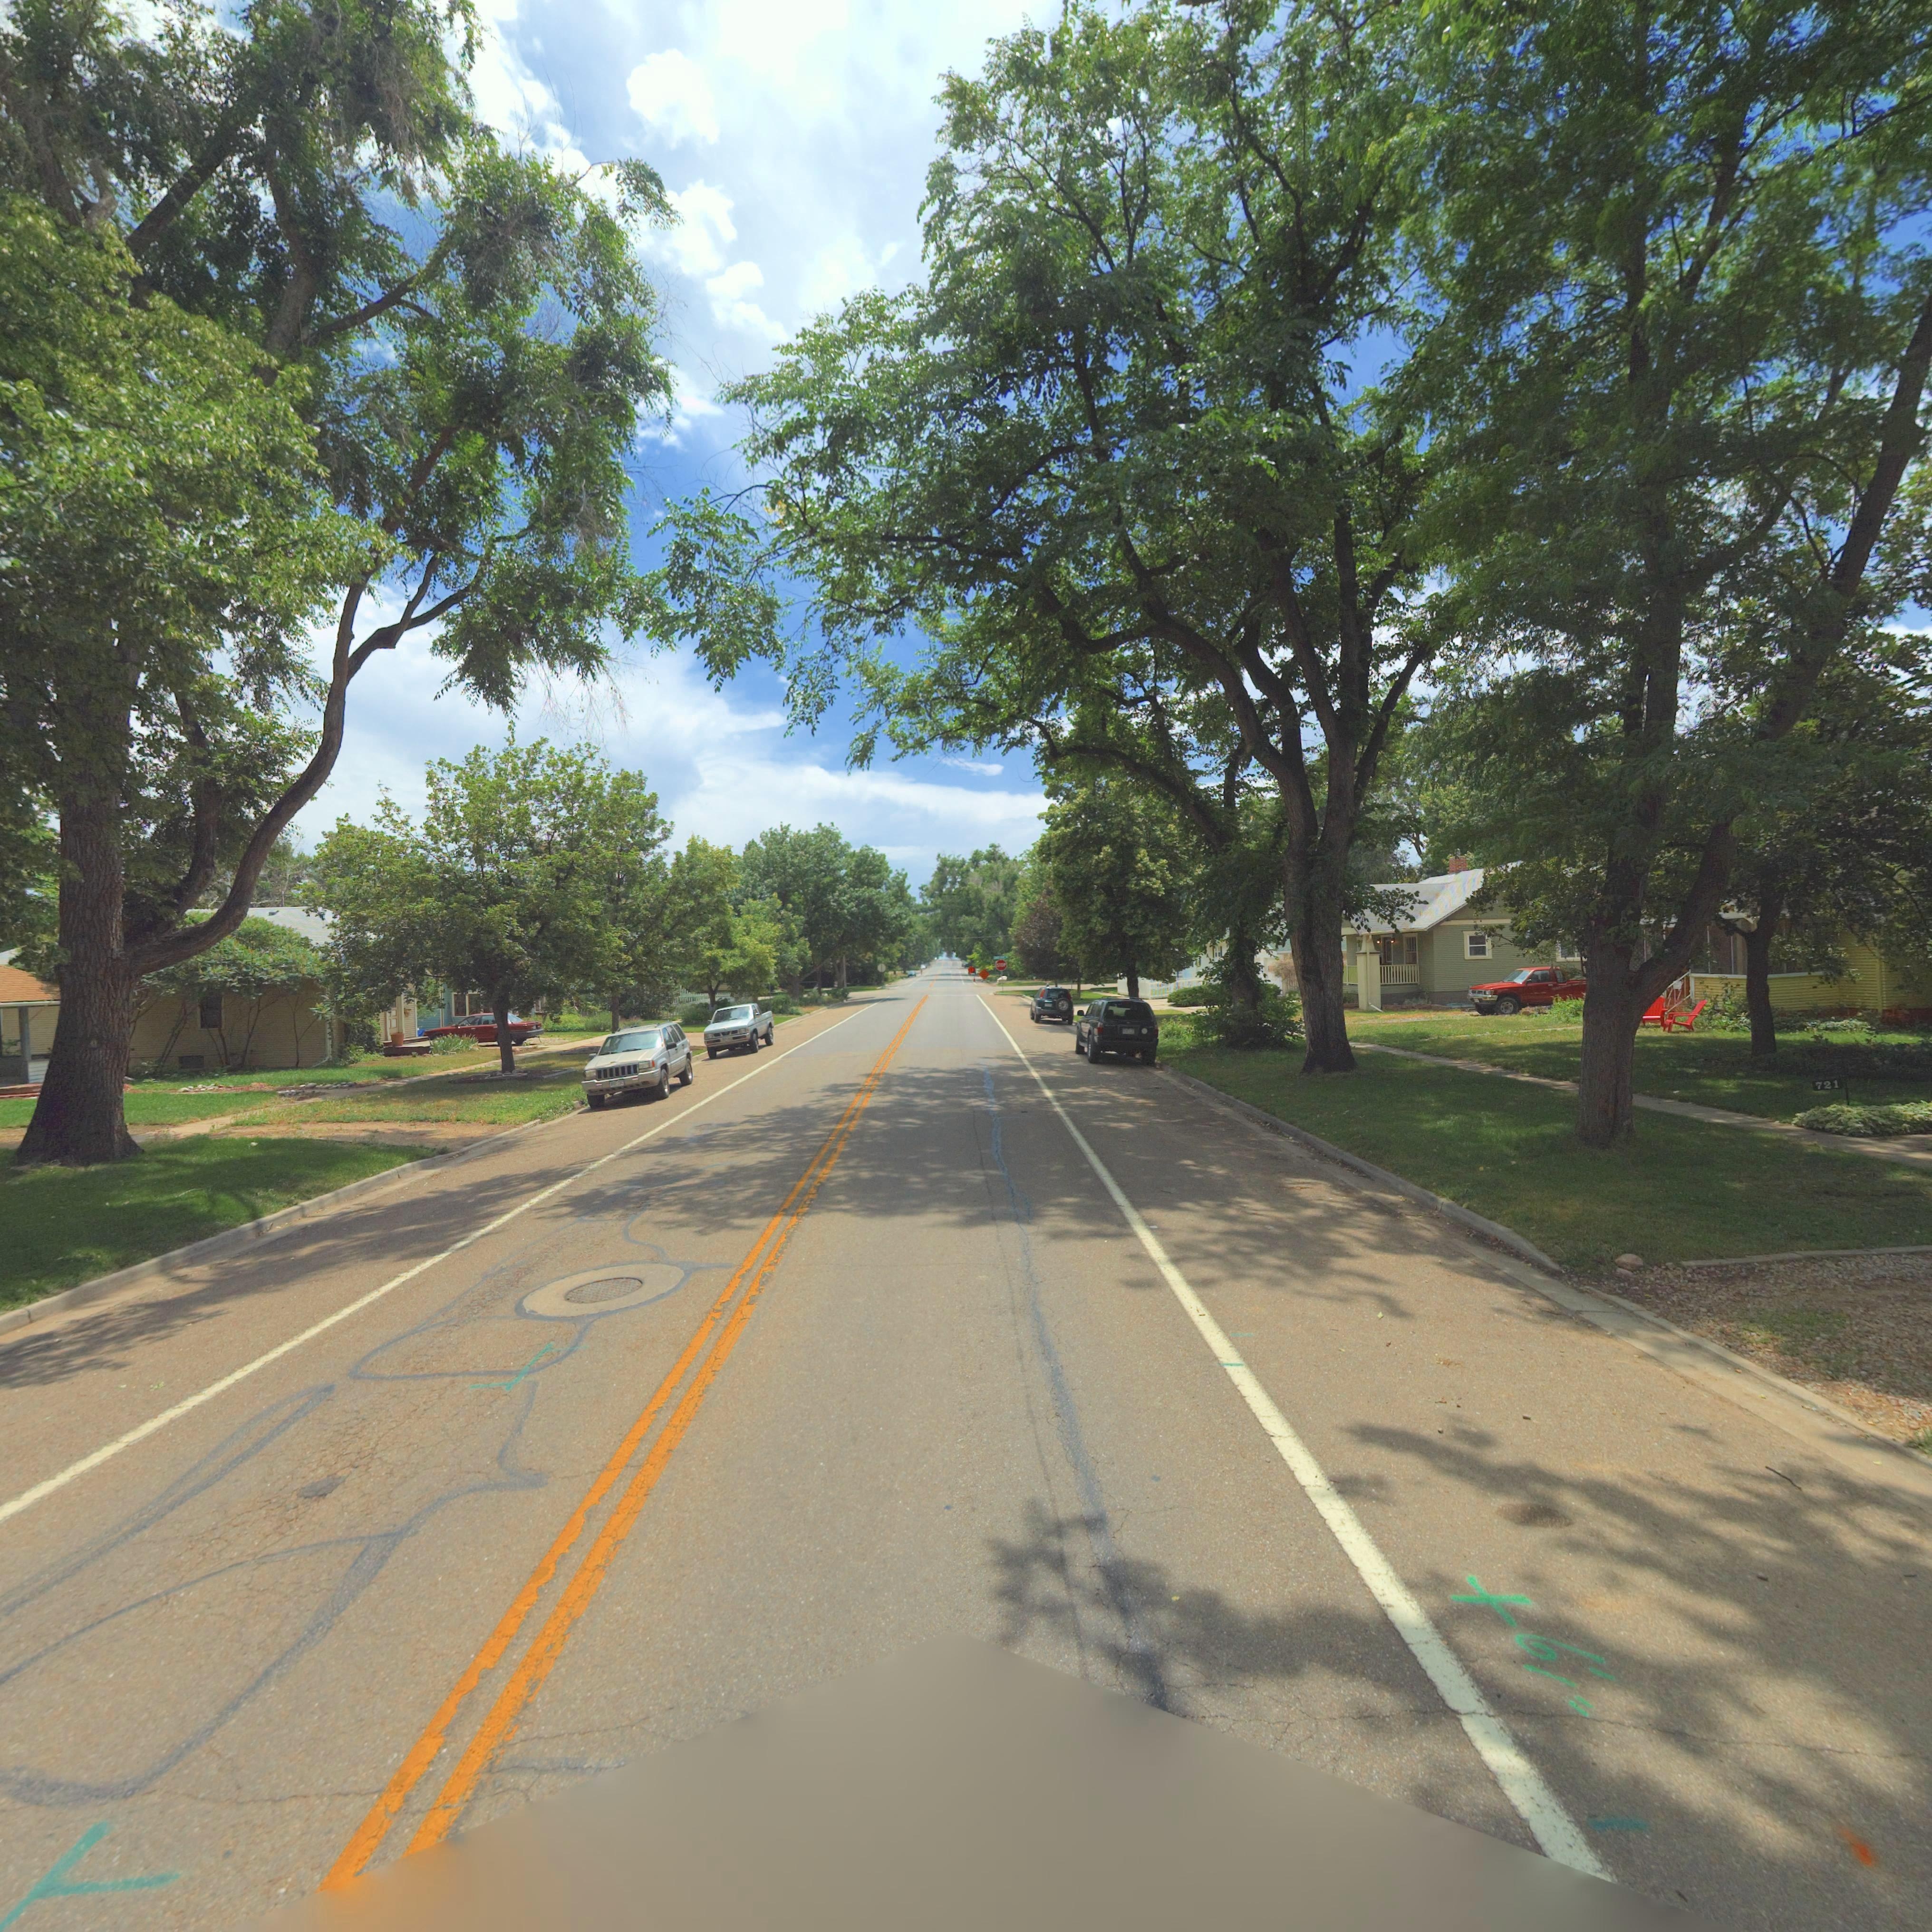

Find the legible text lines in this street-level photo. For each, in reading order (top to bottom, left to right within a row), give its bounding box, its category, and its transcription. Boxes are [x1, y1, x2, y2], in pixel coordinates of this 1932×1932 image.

[1815, 1079, 1839, 1090] StreetNumber: 721